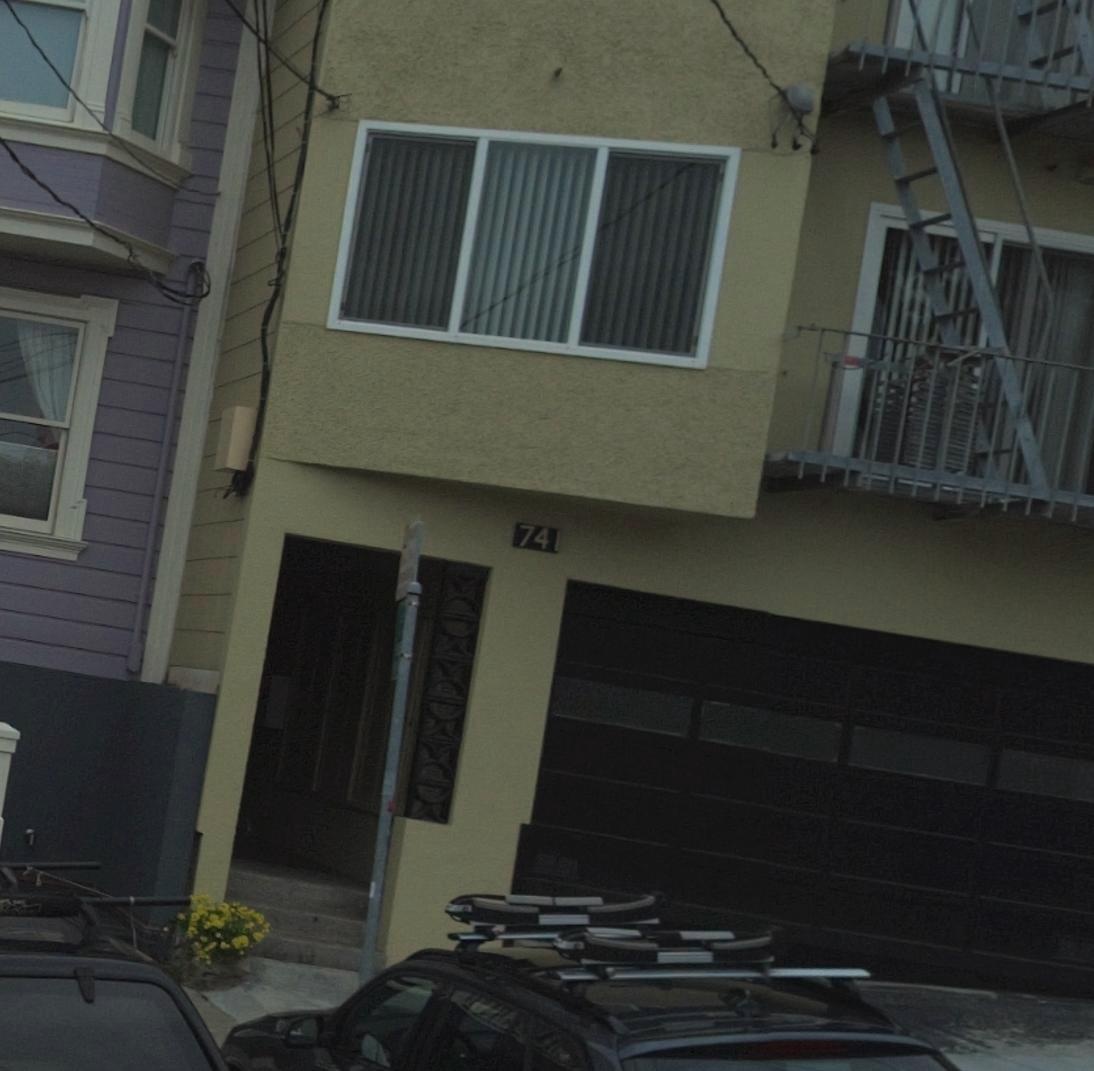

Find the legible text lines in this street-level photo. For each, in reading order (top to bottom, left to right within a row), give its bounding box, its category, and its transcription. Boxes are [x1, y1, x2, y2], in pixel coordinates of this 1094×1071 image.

[517, 522, 564, 553] StreetNumber: 741